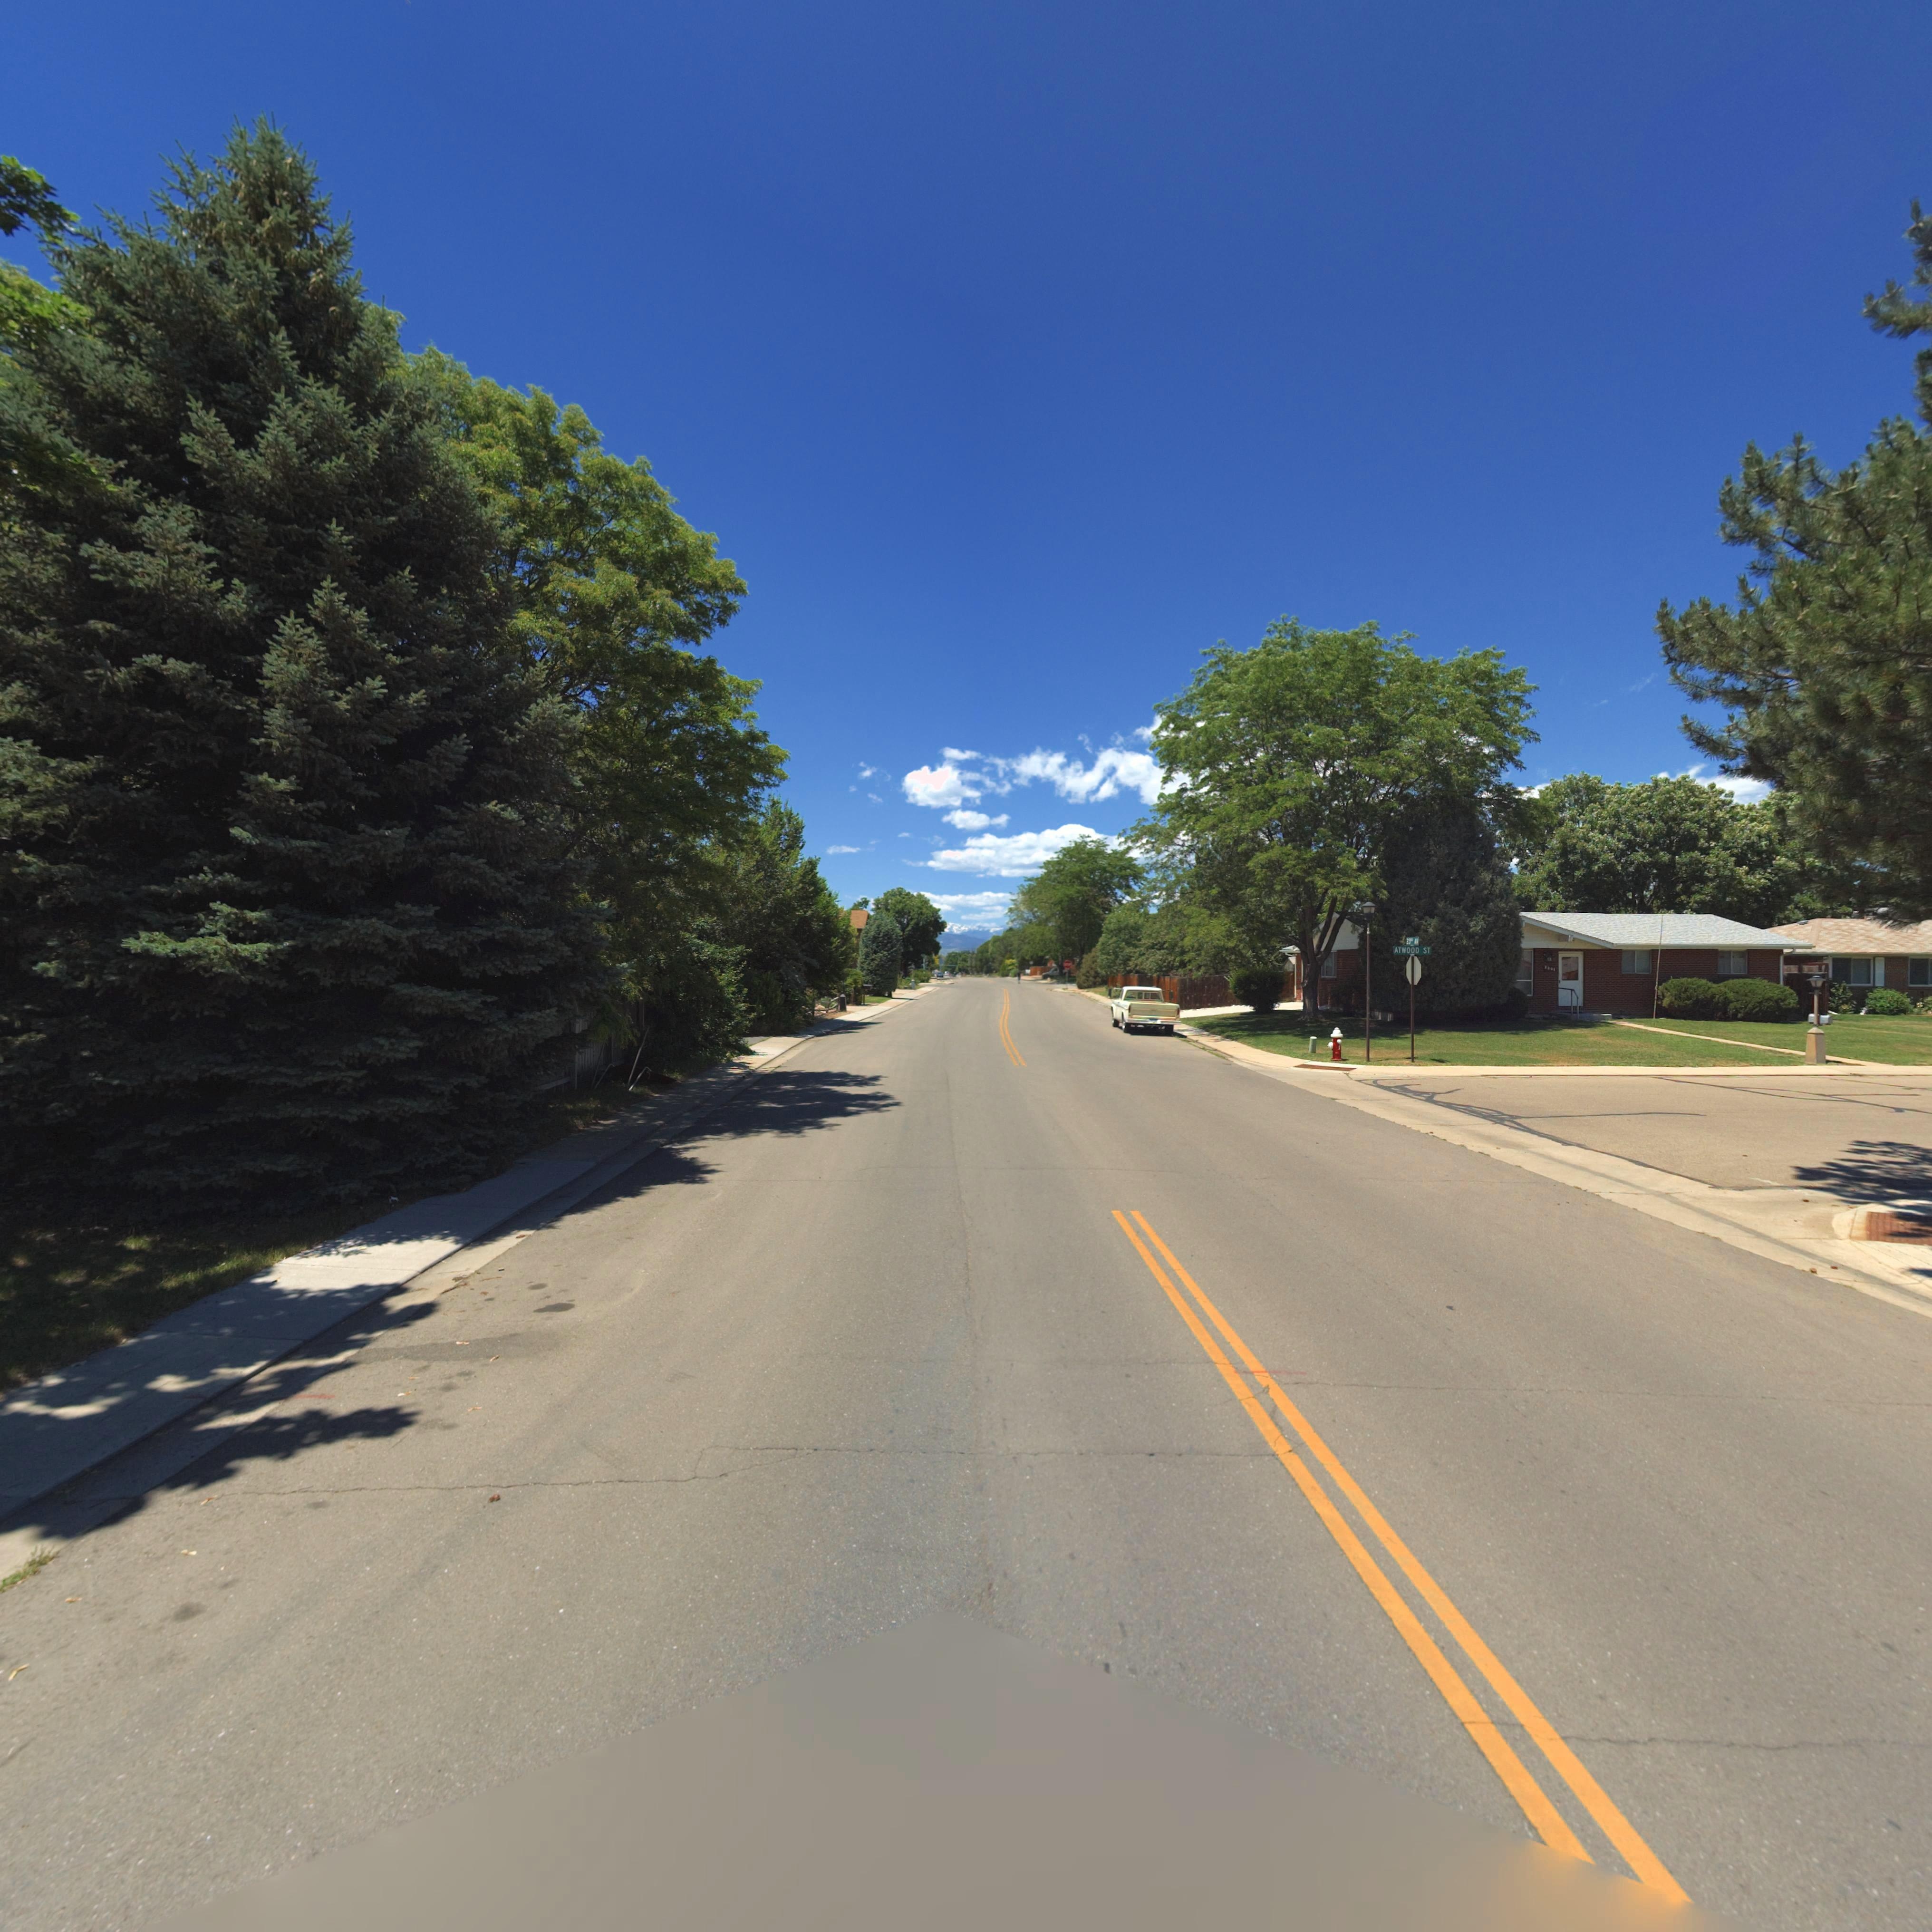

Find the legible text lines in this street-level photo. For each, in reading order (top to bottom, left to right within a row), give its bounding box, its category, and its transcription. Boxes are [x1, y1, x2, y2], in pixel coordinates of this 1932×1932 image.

[1406, 937, 1419, 944] StreetName: 23** AV
[1393, 947, 1430, 954] StreetName: ATWOOD ST
[1544, 965, 1555, 971] StreetNumber: 1301